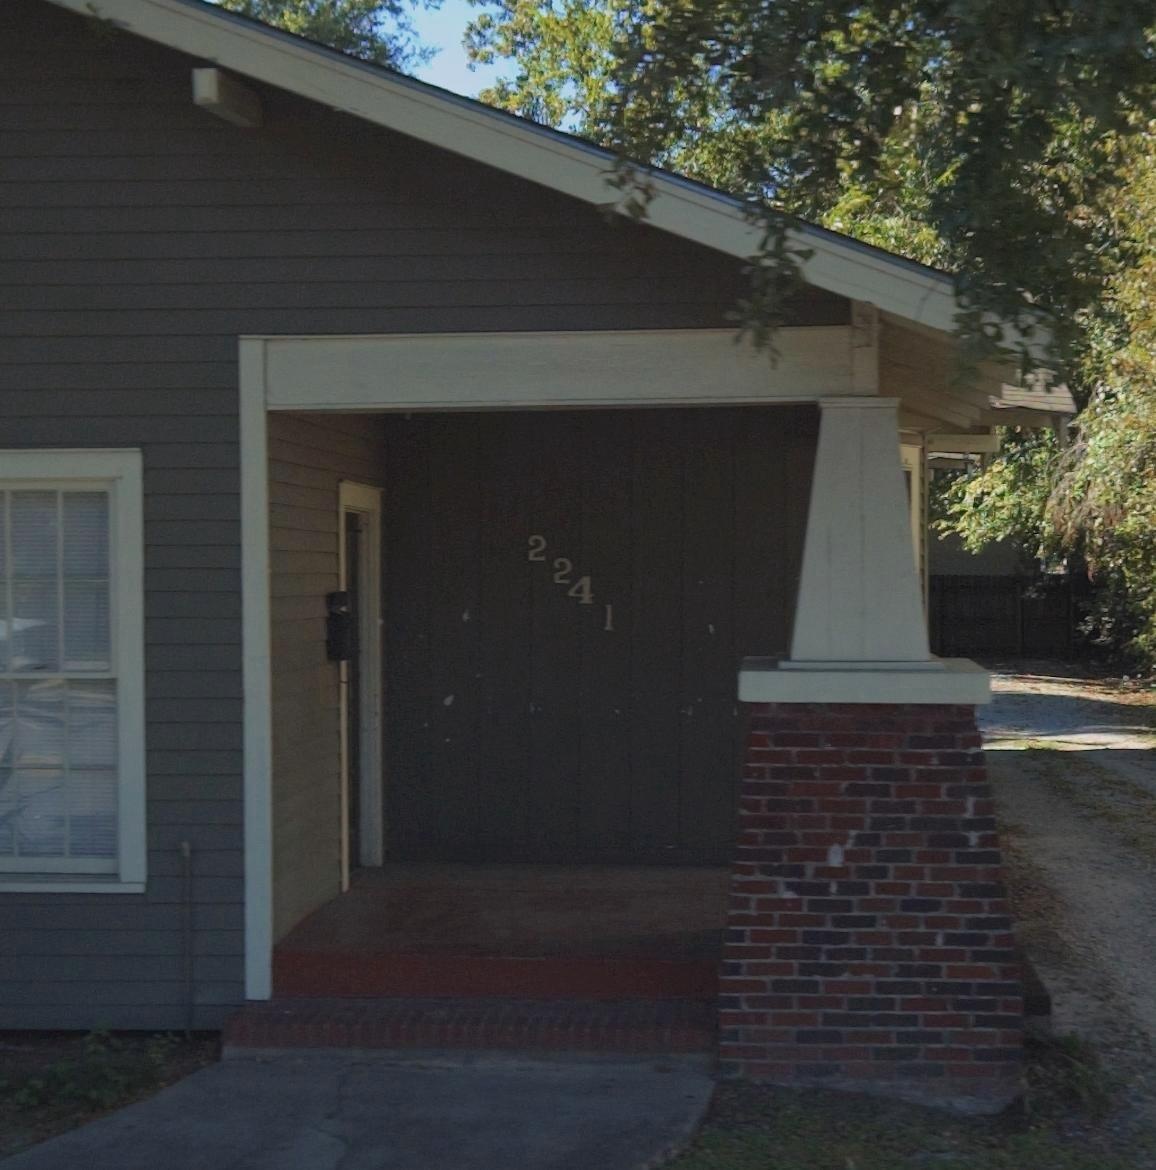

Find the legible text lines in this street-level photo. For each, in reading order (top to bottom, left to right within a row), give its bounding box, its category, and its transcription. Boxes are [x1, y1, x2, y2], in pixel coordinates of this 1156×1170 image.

[526, 532, 617, 633] StreetNumber: 2241